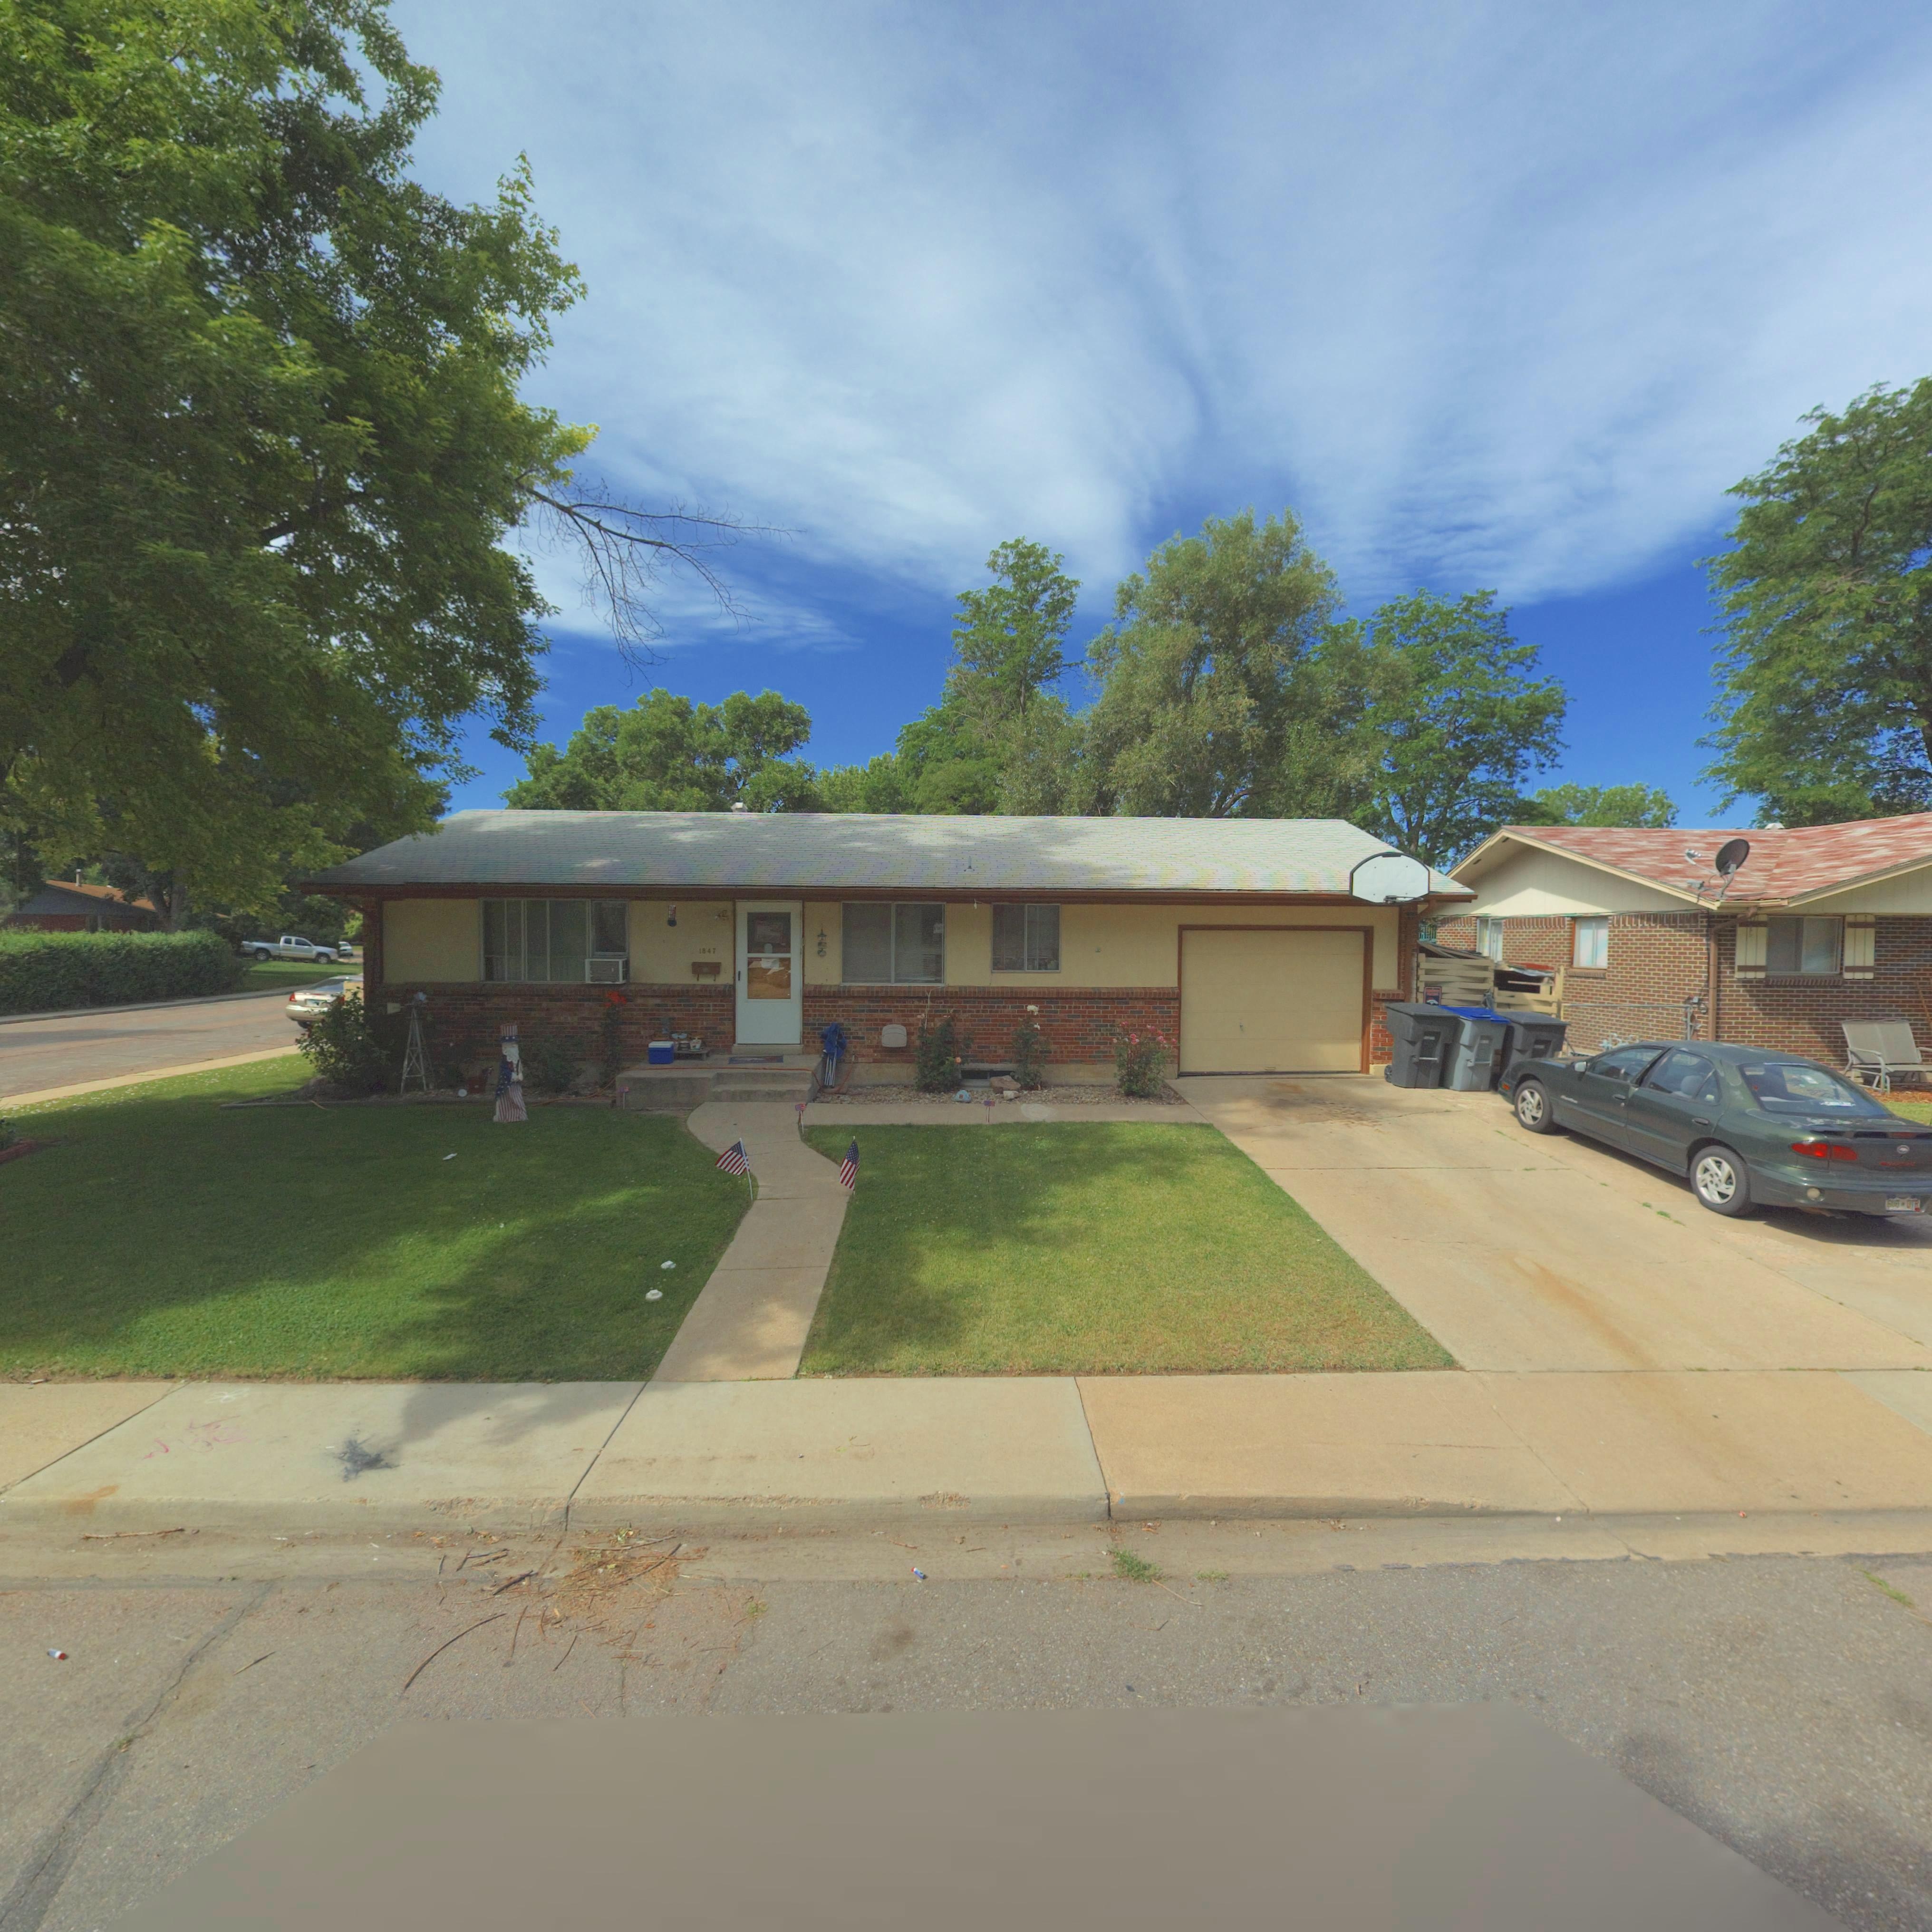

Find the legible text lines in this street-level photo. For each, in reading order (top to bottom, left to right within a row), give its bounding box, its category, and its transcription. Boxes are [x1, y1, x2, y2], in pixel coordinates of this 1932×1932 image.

[698, 947, 716, 954] StreetNumber: 1847